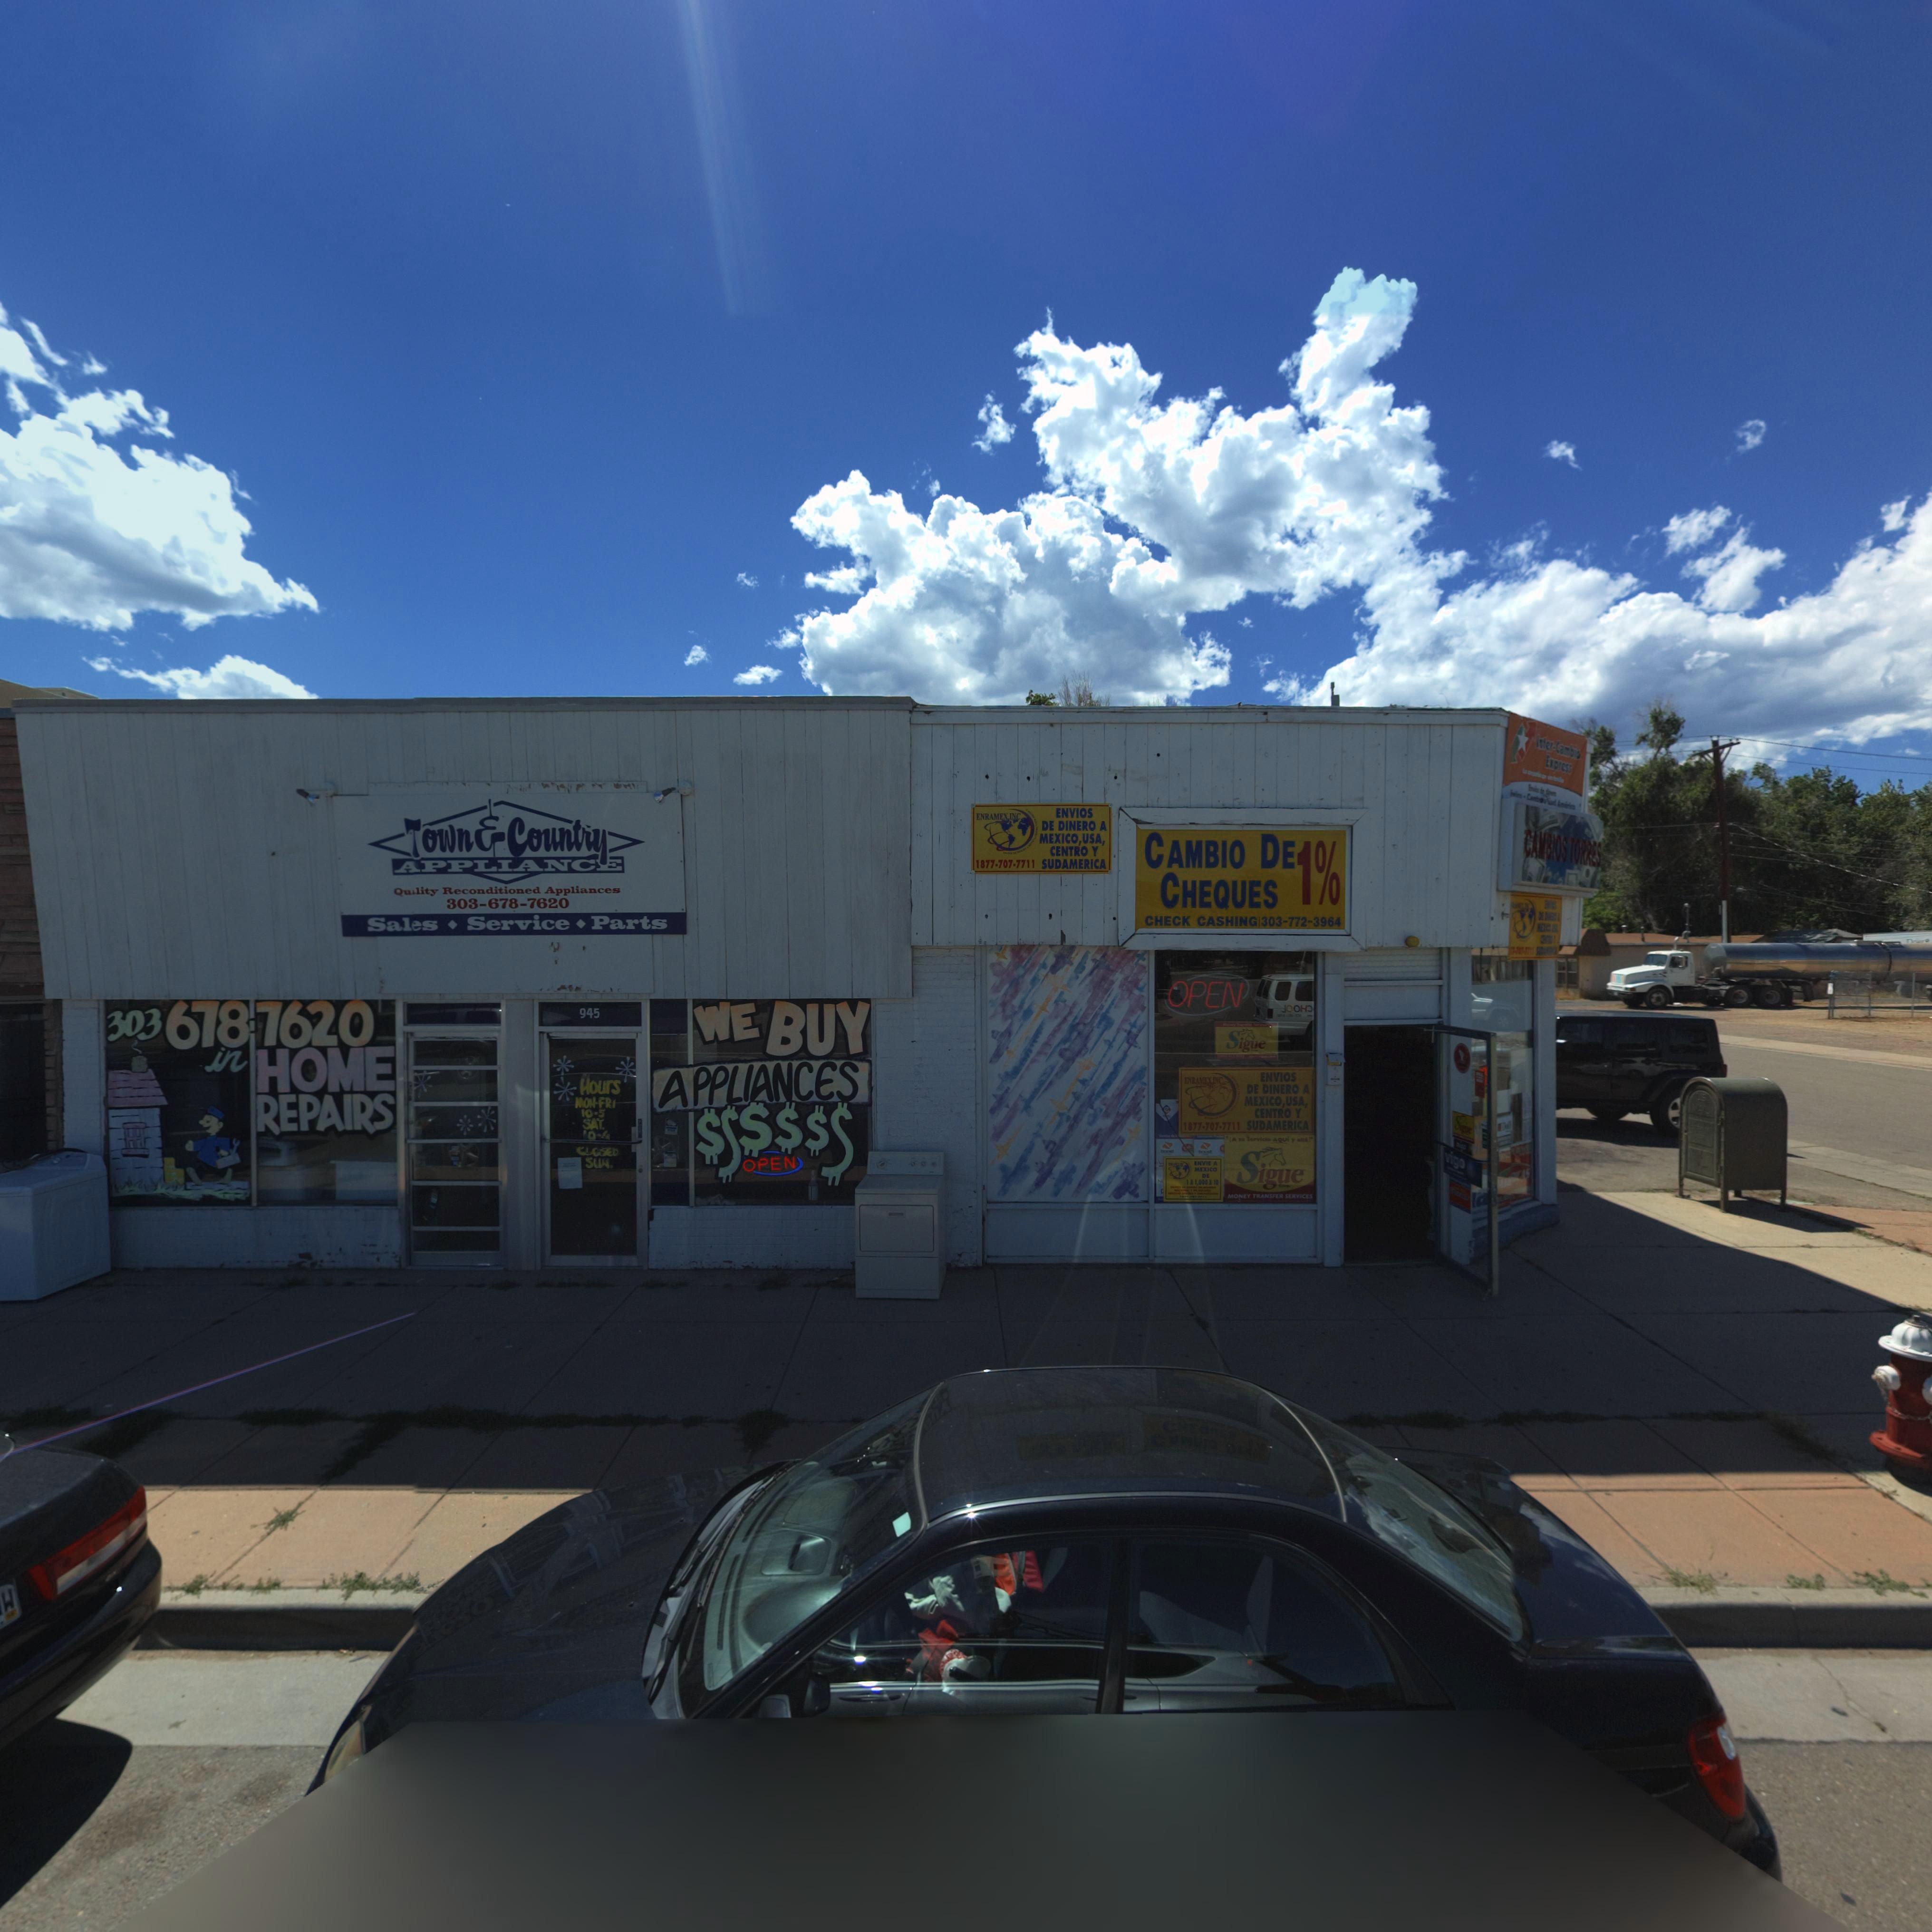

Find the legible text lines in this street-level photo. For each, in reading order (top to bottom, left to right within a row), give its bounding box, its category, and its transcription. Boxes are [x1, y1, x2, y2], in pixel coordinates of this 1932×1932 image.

[403, 797, 608, 866] BusinessName: Town * Country
[394, 859, 623, 873] BusinessName: APPLIANCE
[1524, 829, 1602, 867] BusinessName: CAMBIOS TORRES
[580, 1007, 600, 1019] StreetNumber: 945